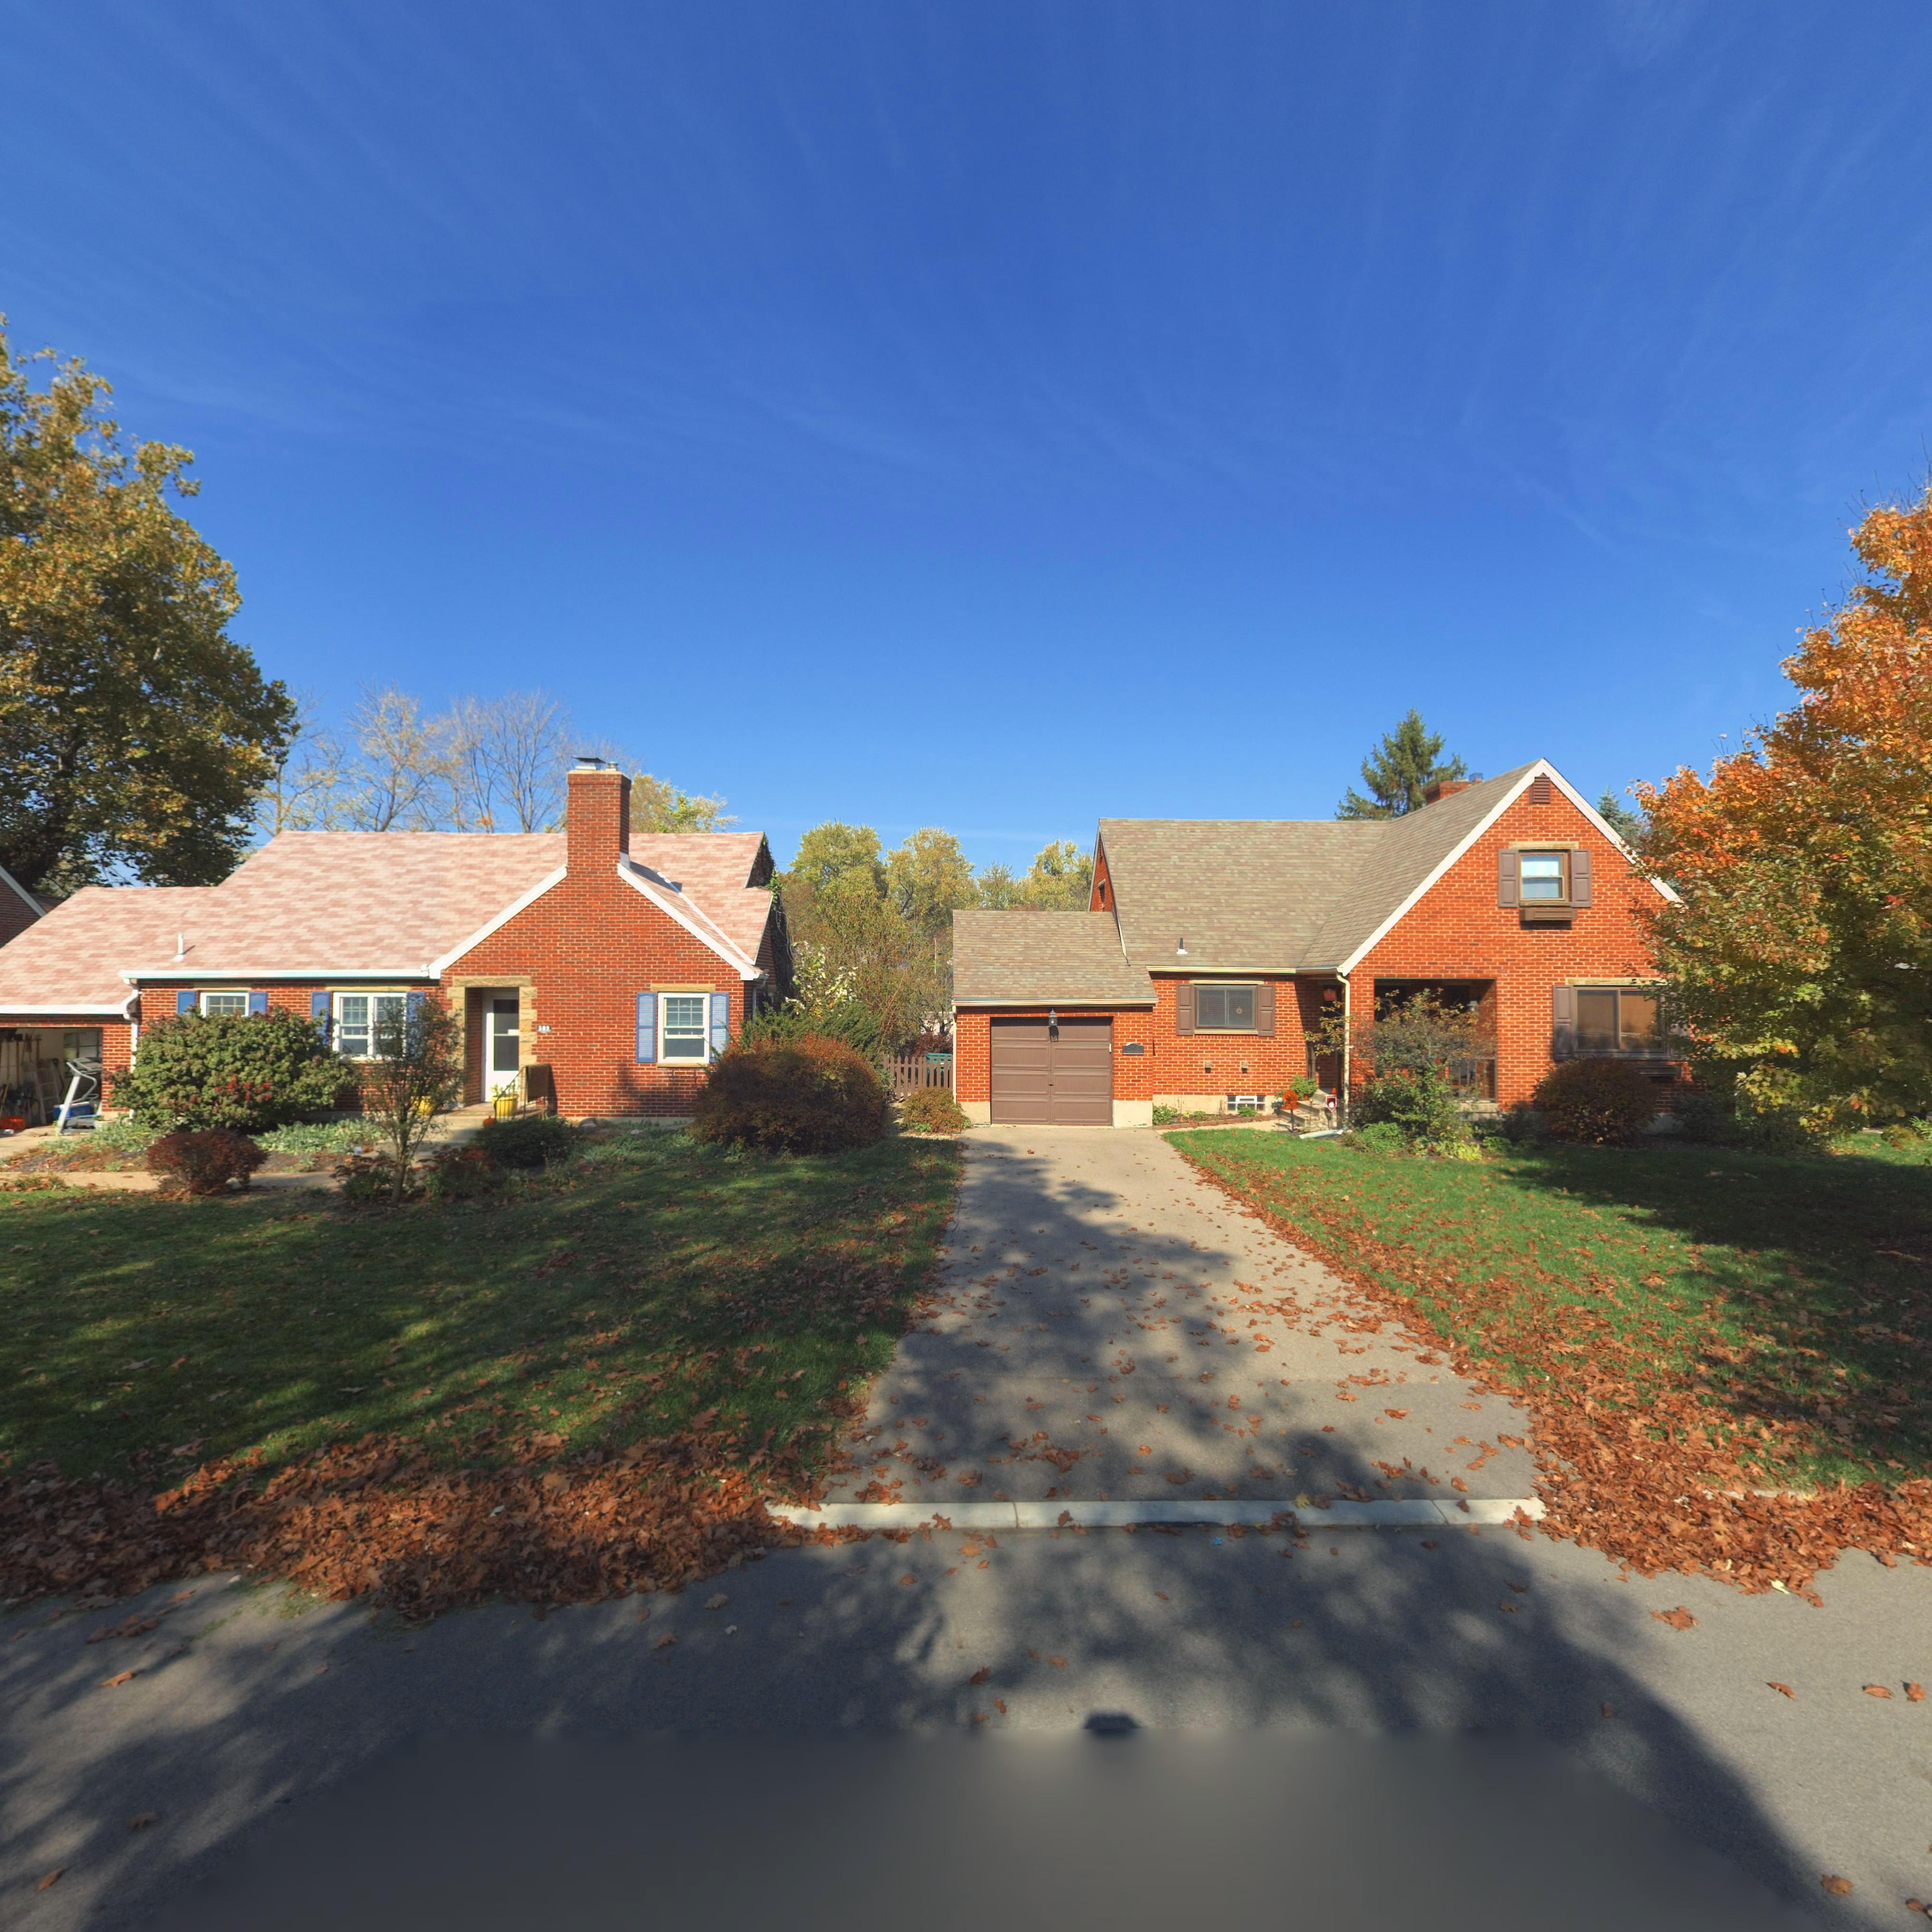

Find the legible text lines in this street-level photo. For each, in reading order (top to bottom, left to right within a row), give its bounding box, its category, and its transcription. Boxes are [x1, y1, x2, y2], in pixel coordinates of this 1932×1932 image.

[538, 1025, 550, 1032] StreetNumber: 509
[1126, 1046, 1140, 1053] StreetNumber: 513